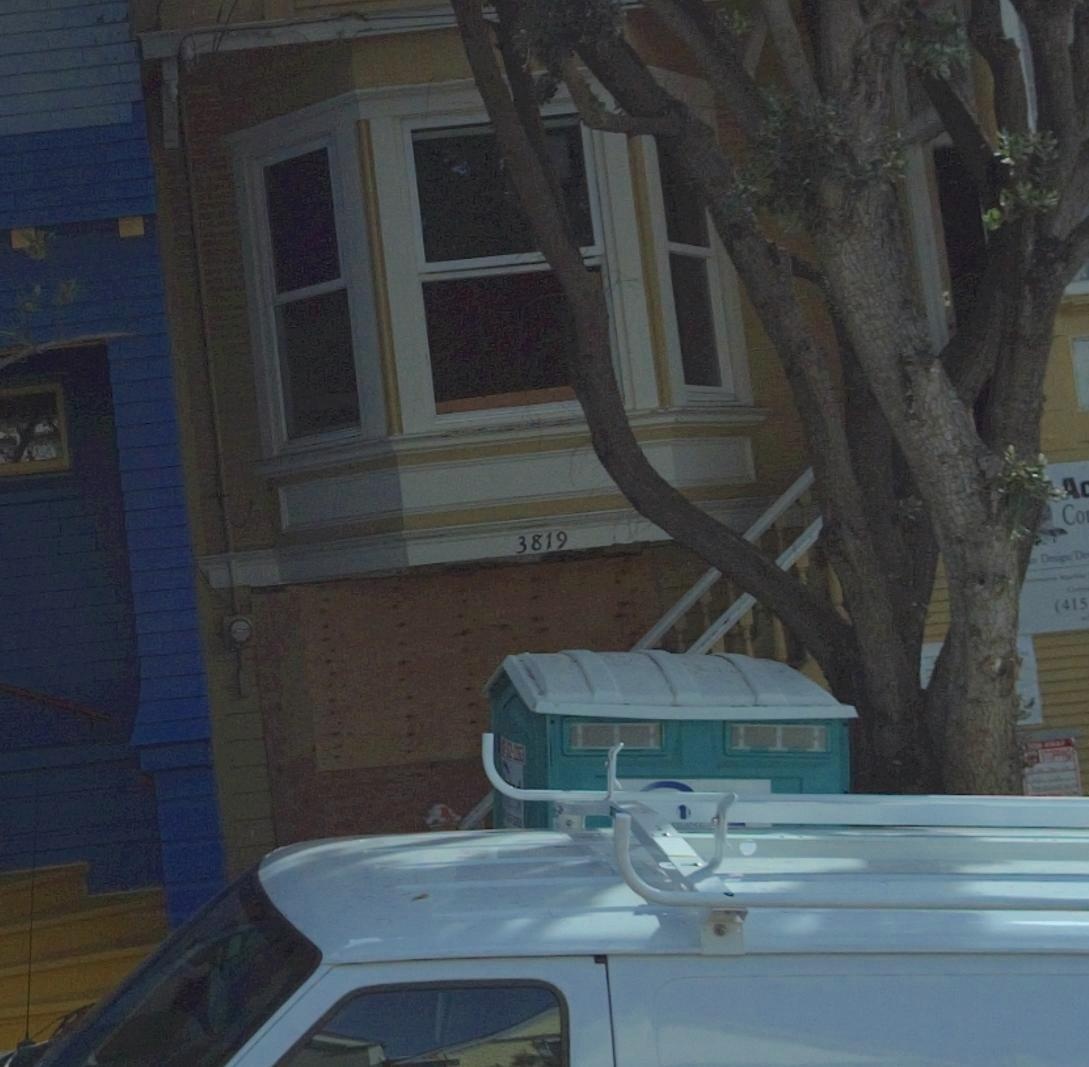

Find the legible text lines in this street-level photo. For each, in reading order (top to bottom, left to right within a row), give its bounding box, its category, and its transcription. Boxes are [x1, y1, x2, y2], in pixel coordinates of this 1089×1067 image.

[515, 528, 570, 554] StreetNumber: 3819